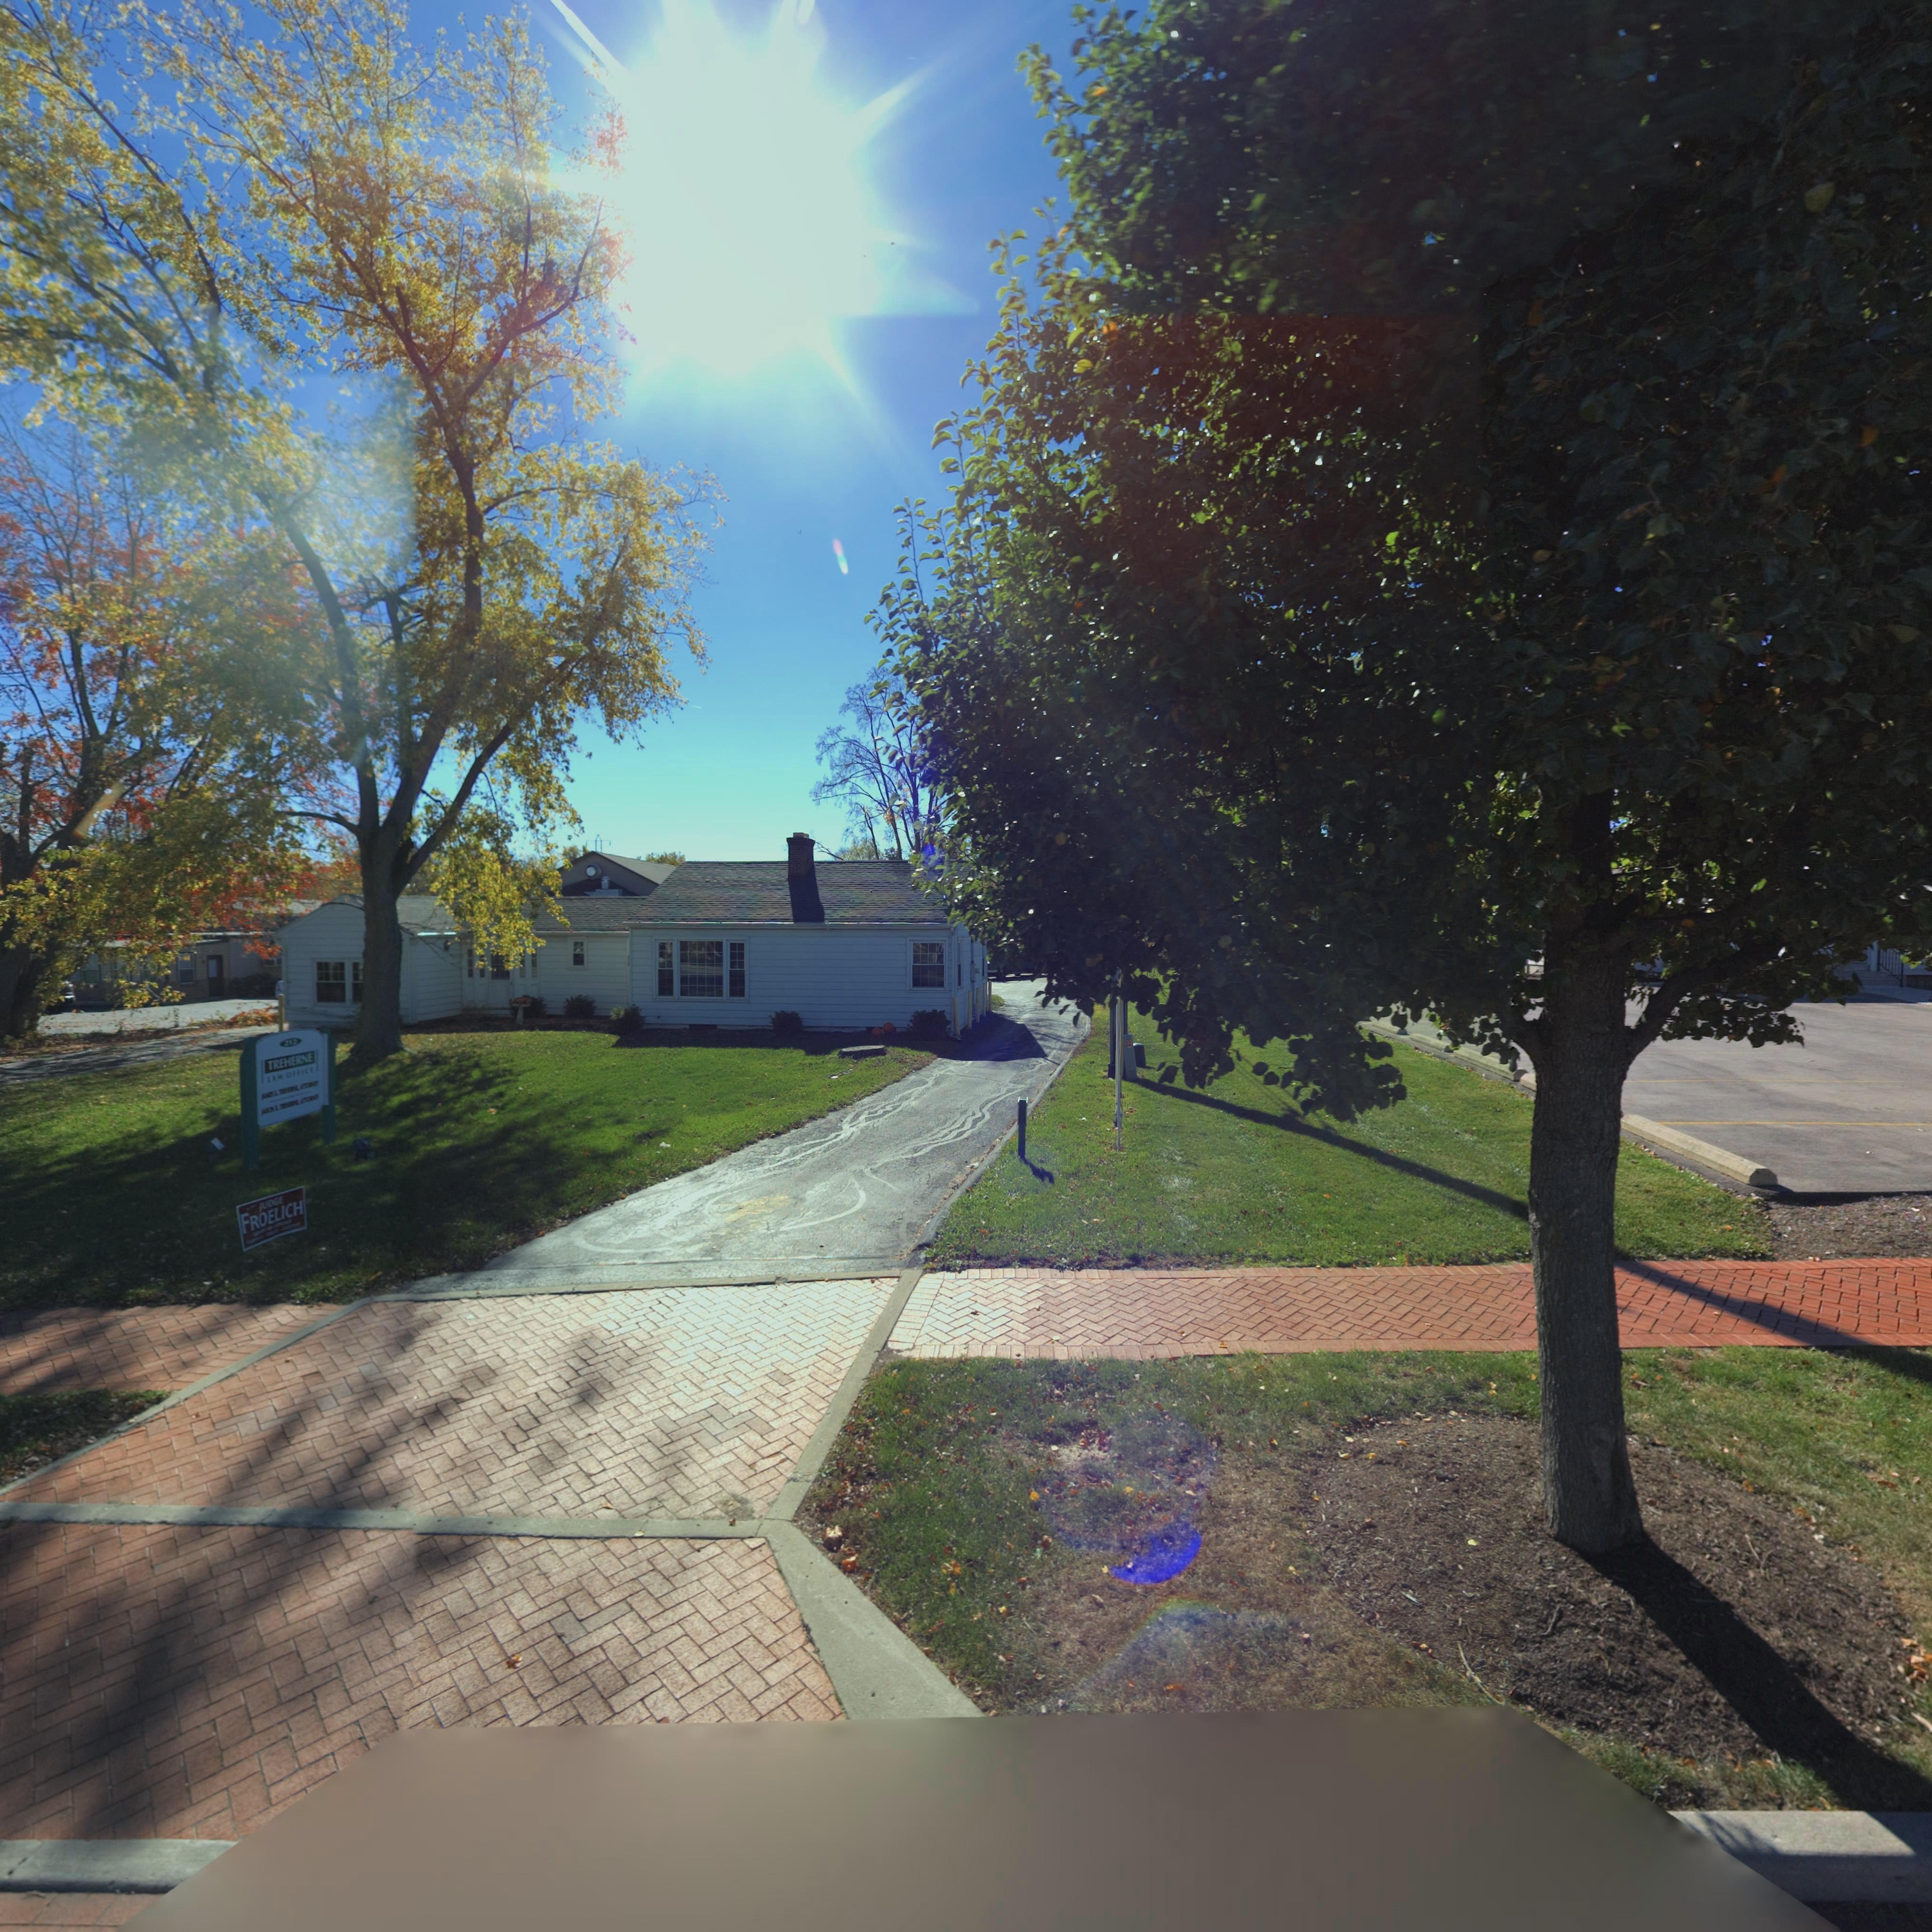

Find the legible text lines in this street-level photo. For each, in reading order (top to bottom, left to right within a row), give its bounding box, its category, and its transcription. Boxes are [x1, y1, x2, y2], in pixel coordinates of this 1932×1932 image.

[283, 1038, 298, 1047] StreetNumber: 212
[266, 1051, 315, 1072] BusinessName: TREHERNE
[265, 1065, 316, 1085] BusinessName: LAW OFFICE
[258, 1194, 284, 1214] None: JUDGE
[239, 1198, 304, 1236] None: FROELICH